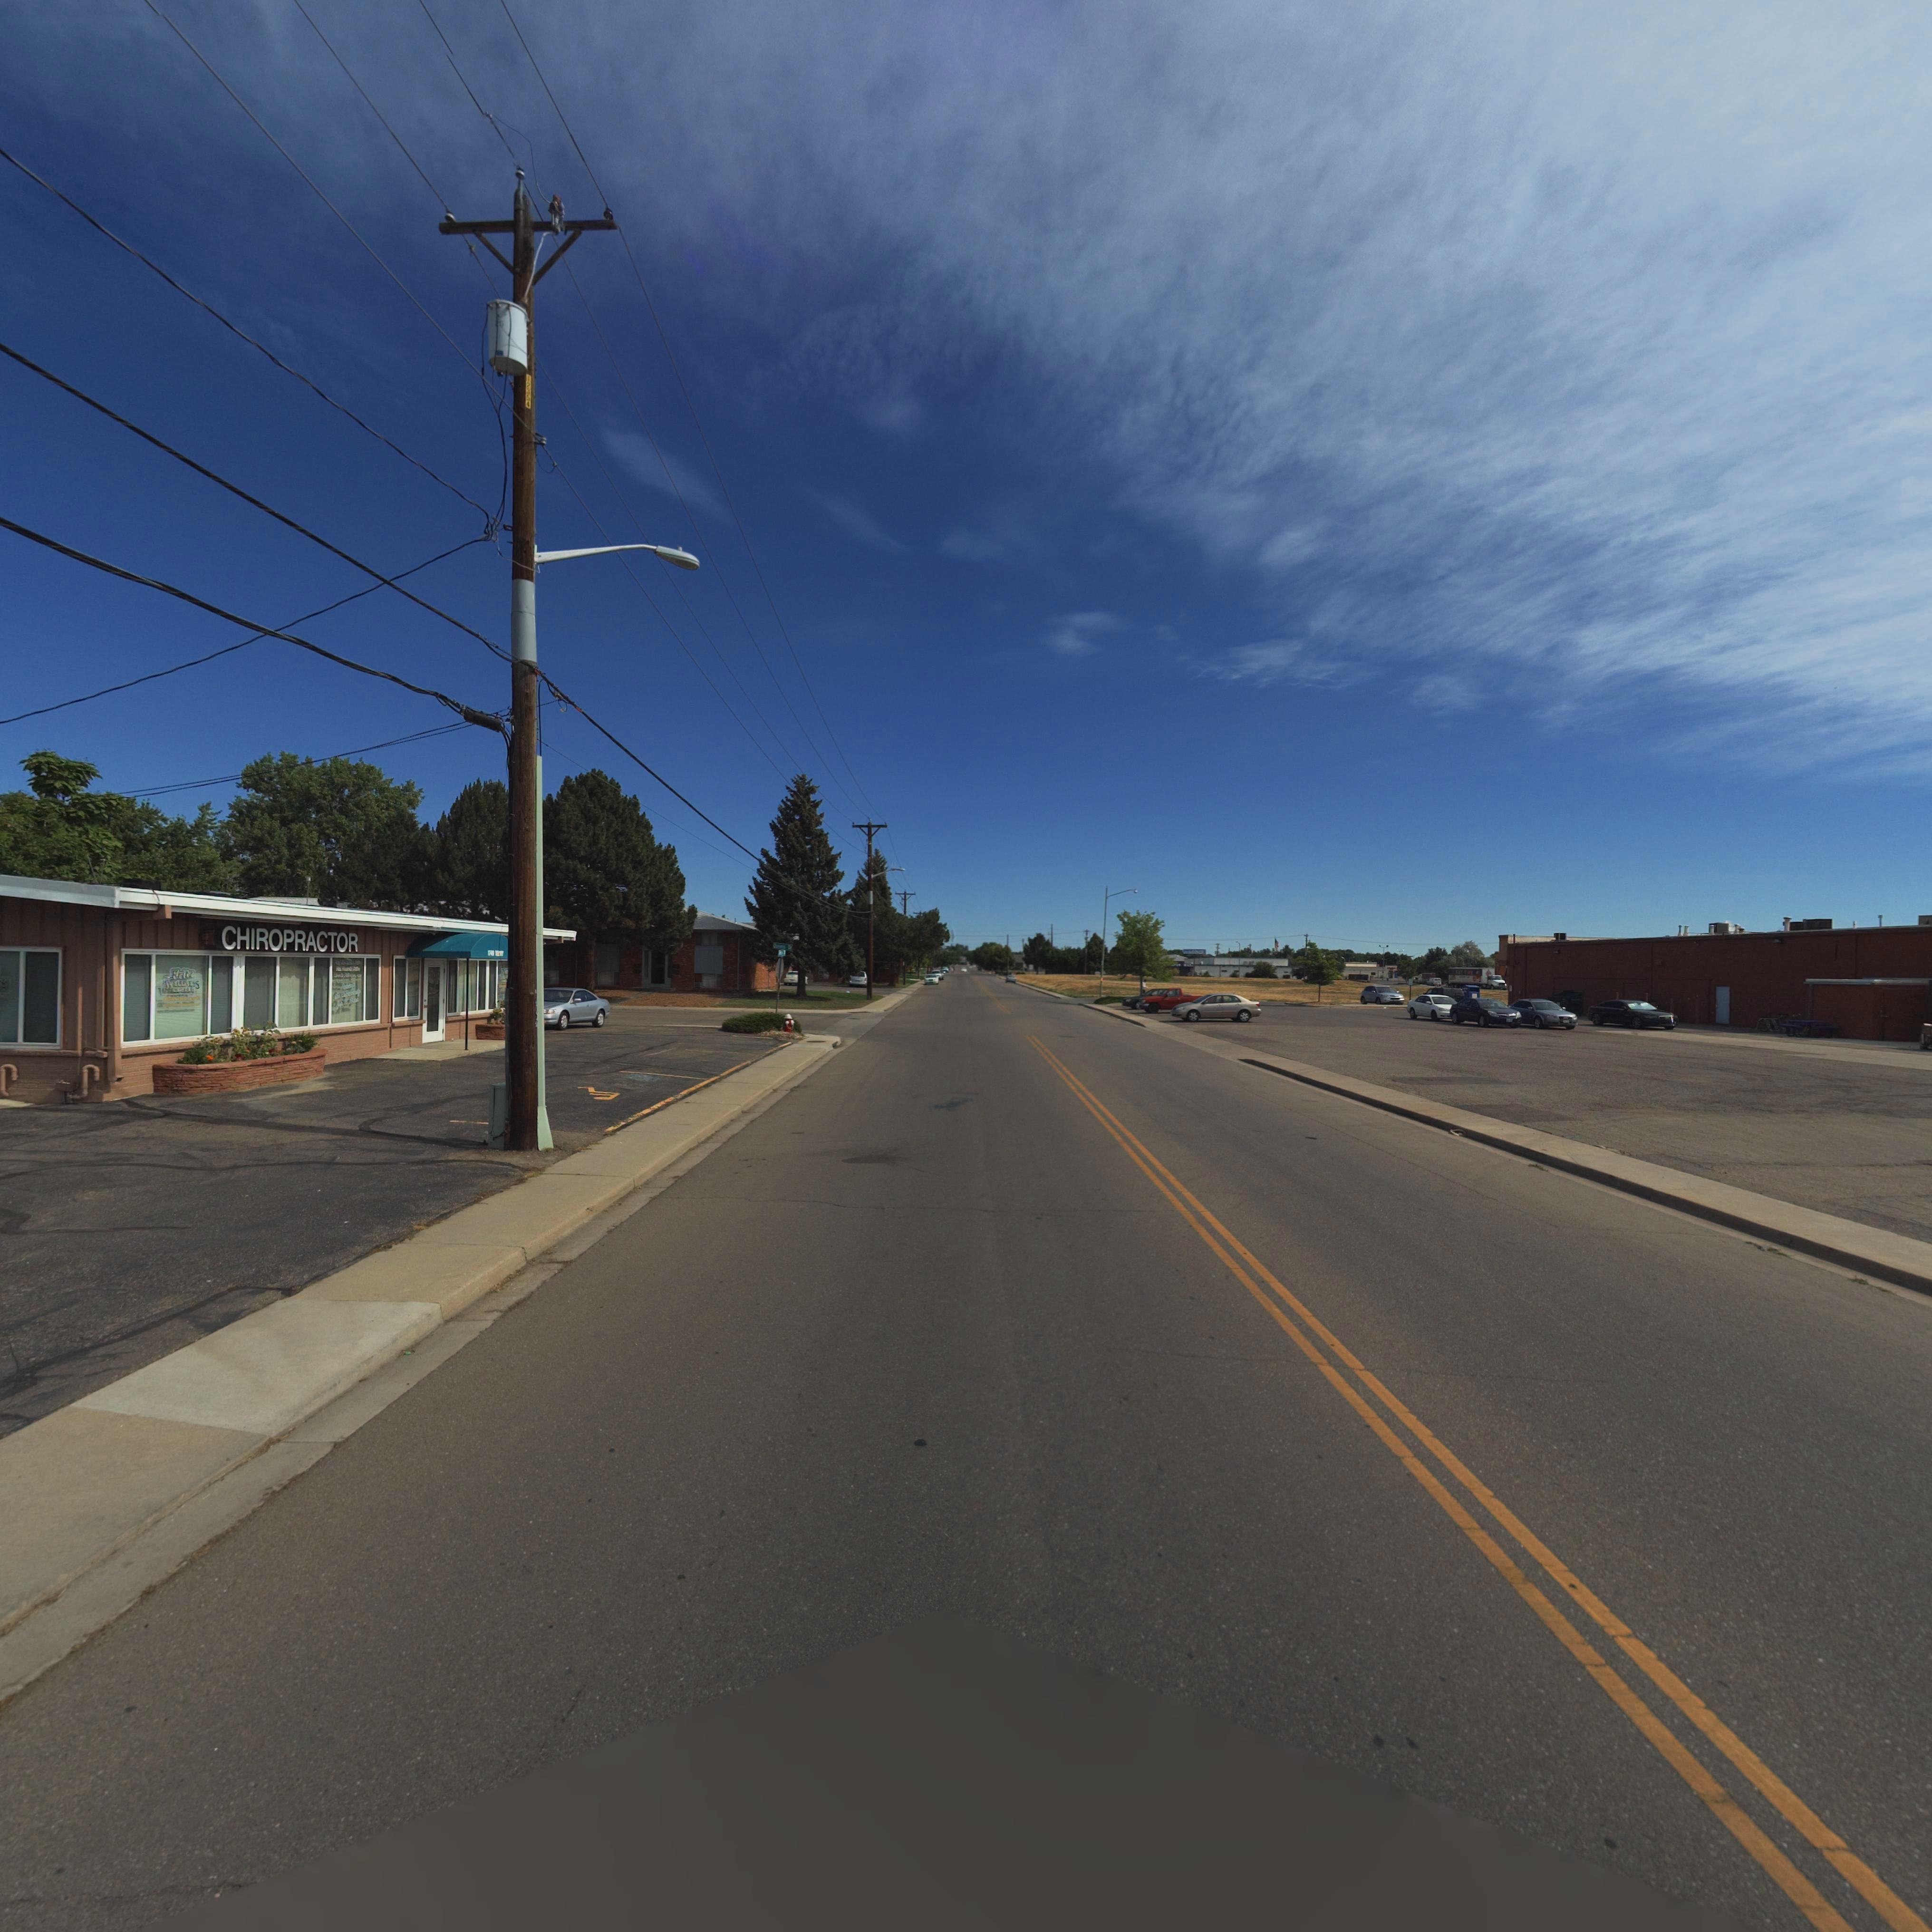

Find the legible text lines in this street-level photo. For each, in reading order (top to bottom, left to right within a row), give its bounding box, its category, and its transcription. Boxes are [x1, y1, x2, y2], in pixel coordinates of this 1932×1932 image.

[772, 942, 792, 950] BusinessName: Queens Dr
[487, 949, 494, 956] StreetNumber: 1***
[494, 949, 504, 956] StreetName: ****Y
[170, 968, 195, 979] BusinessName: Fritz
[163, 979, 200, 990] BusinessName: W*LL*ESS